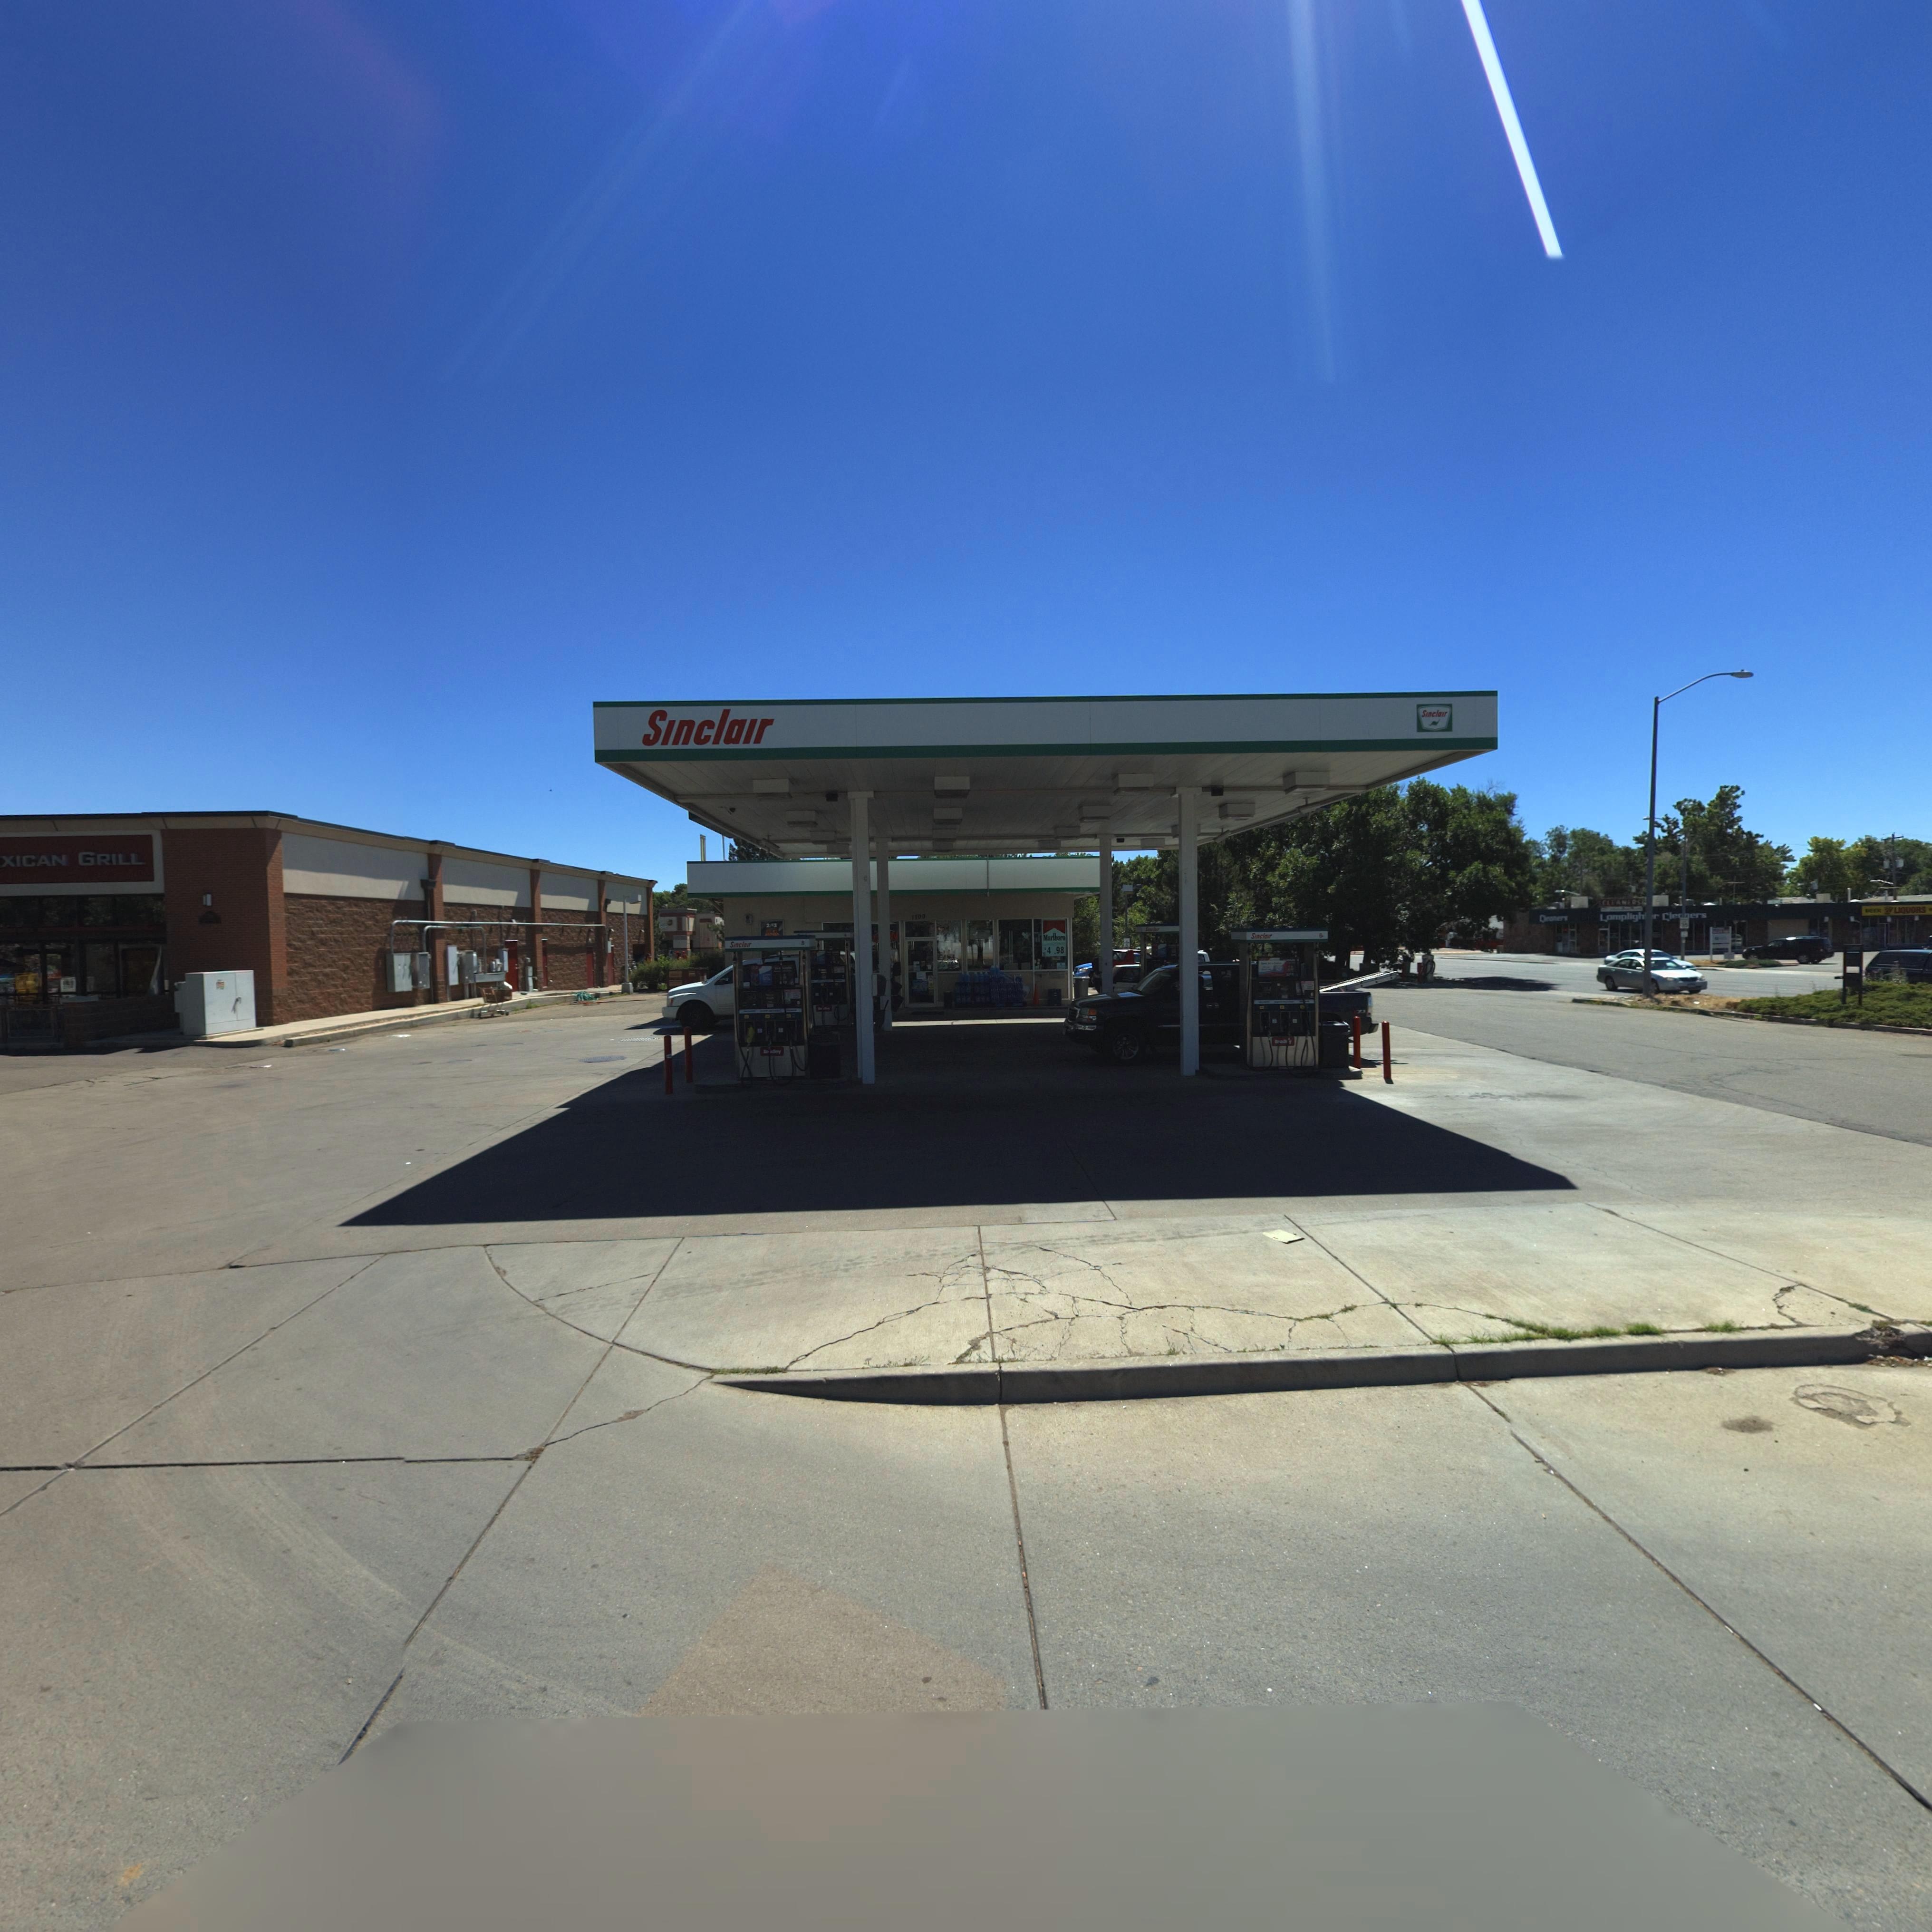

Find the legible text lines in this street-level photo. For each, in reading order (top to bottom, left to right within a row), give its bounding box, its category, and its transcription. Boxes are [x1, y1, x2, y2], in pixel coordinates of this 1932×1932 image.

[1420, 709, 1448, 717] BusinessName: Sinclair
[639, 707, 775, 747] BusinessName: Sinclair
[0, 850, 145, 868] BusinessName: XICAN GRILL
[1883, 906, 1926, 914] BusinessName: * LIQUORS
[911, 914, 925, 920] StreetNumber: 1700
[1539, 914, 1568, 923] BusinessName: Cleaners
[1599, 911, 1707, 922] BusinessName: Lampligh**r Cleaners
[1145, 927, 1159, 931] BusinessName: Si*c****
[1250, 932, 1273, 939] BusinessName: Sinclair
[729, 941, 752, 948] BusinessName: Sinclair
[1274, 1039, 1292, 1045] BusinessName: B******
[763, 1049, 781, 1055] BusinessName: B**dley